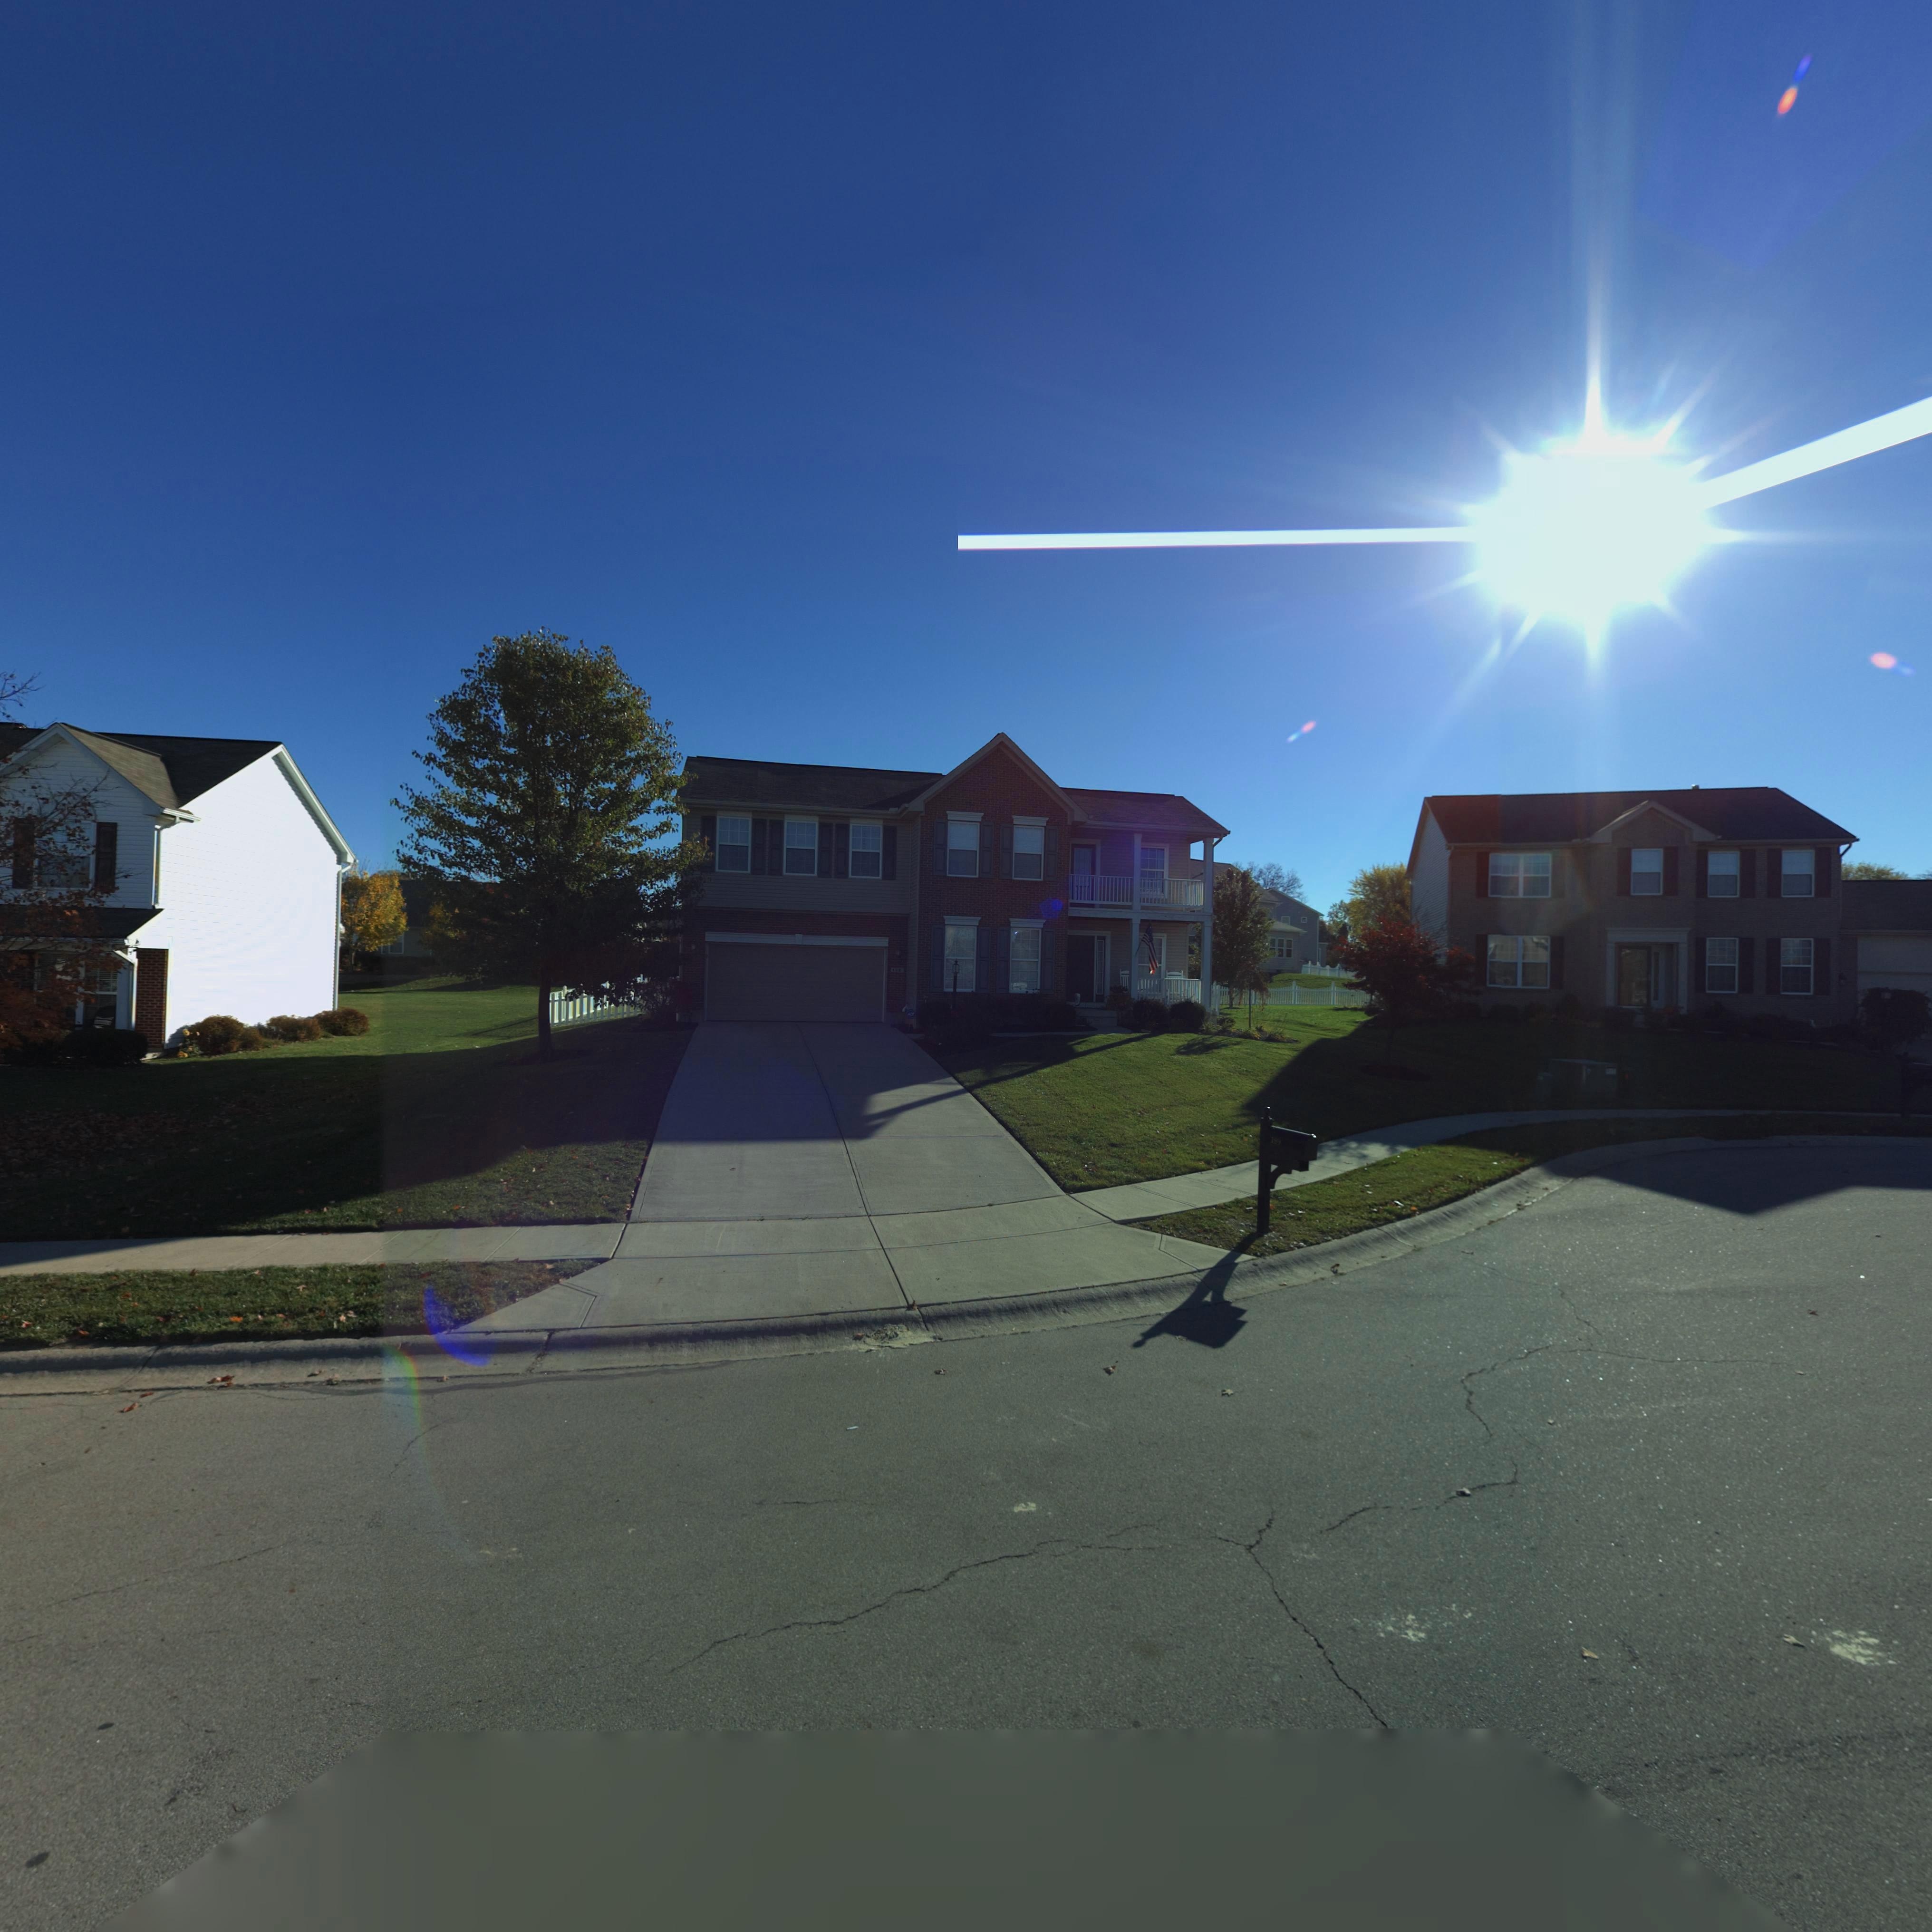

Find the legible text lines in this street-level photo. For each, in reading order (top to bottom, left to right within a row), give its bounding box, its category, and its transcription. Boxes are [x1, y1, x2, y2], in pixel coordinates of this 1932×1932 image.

[1270, 1136, 1282, 1146] StreetNumber: 189